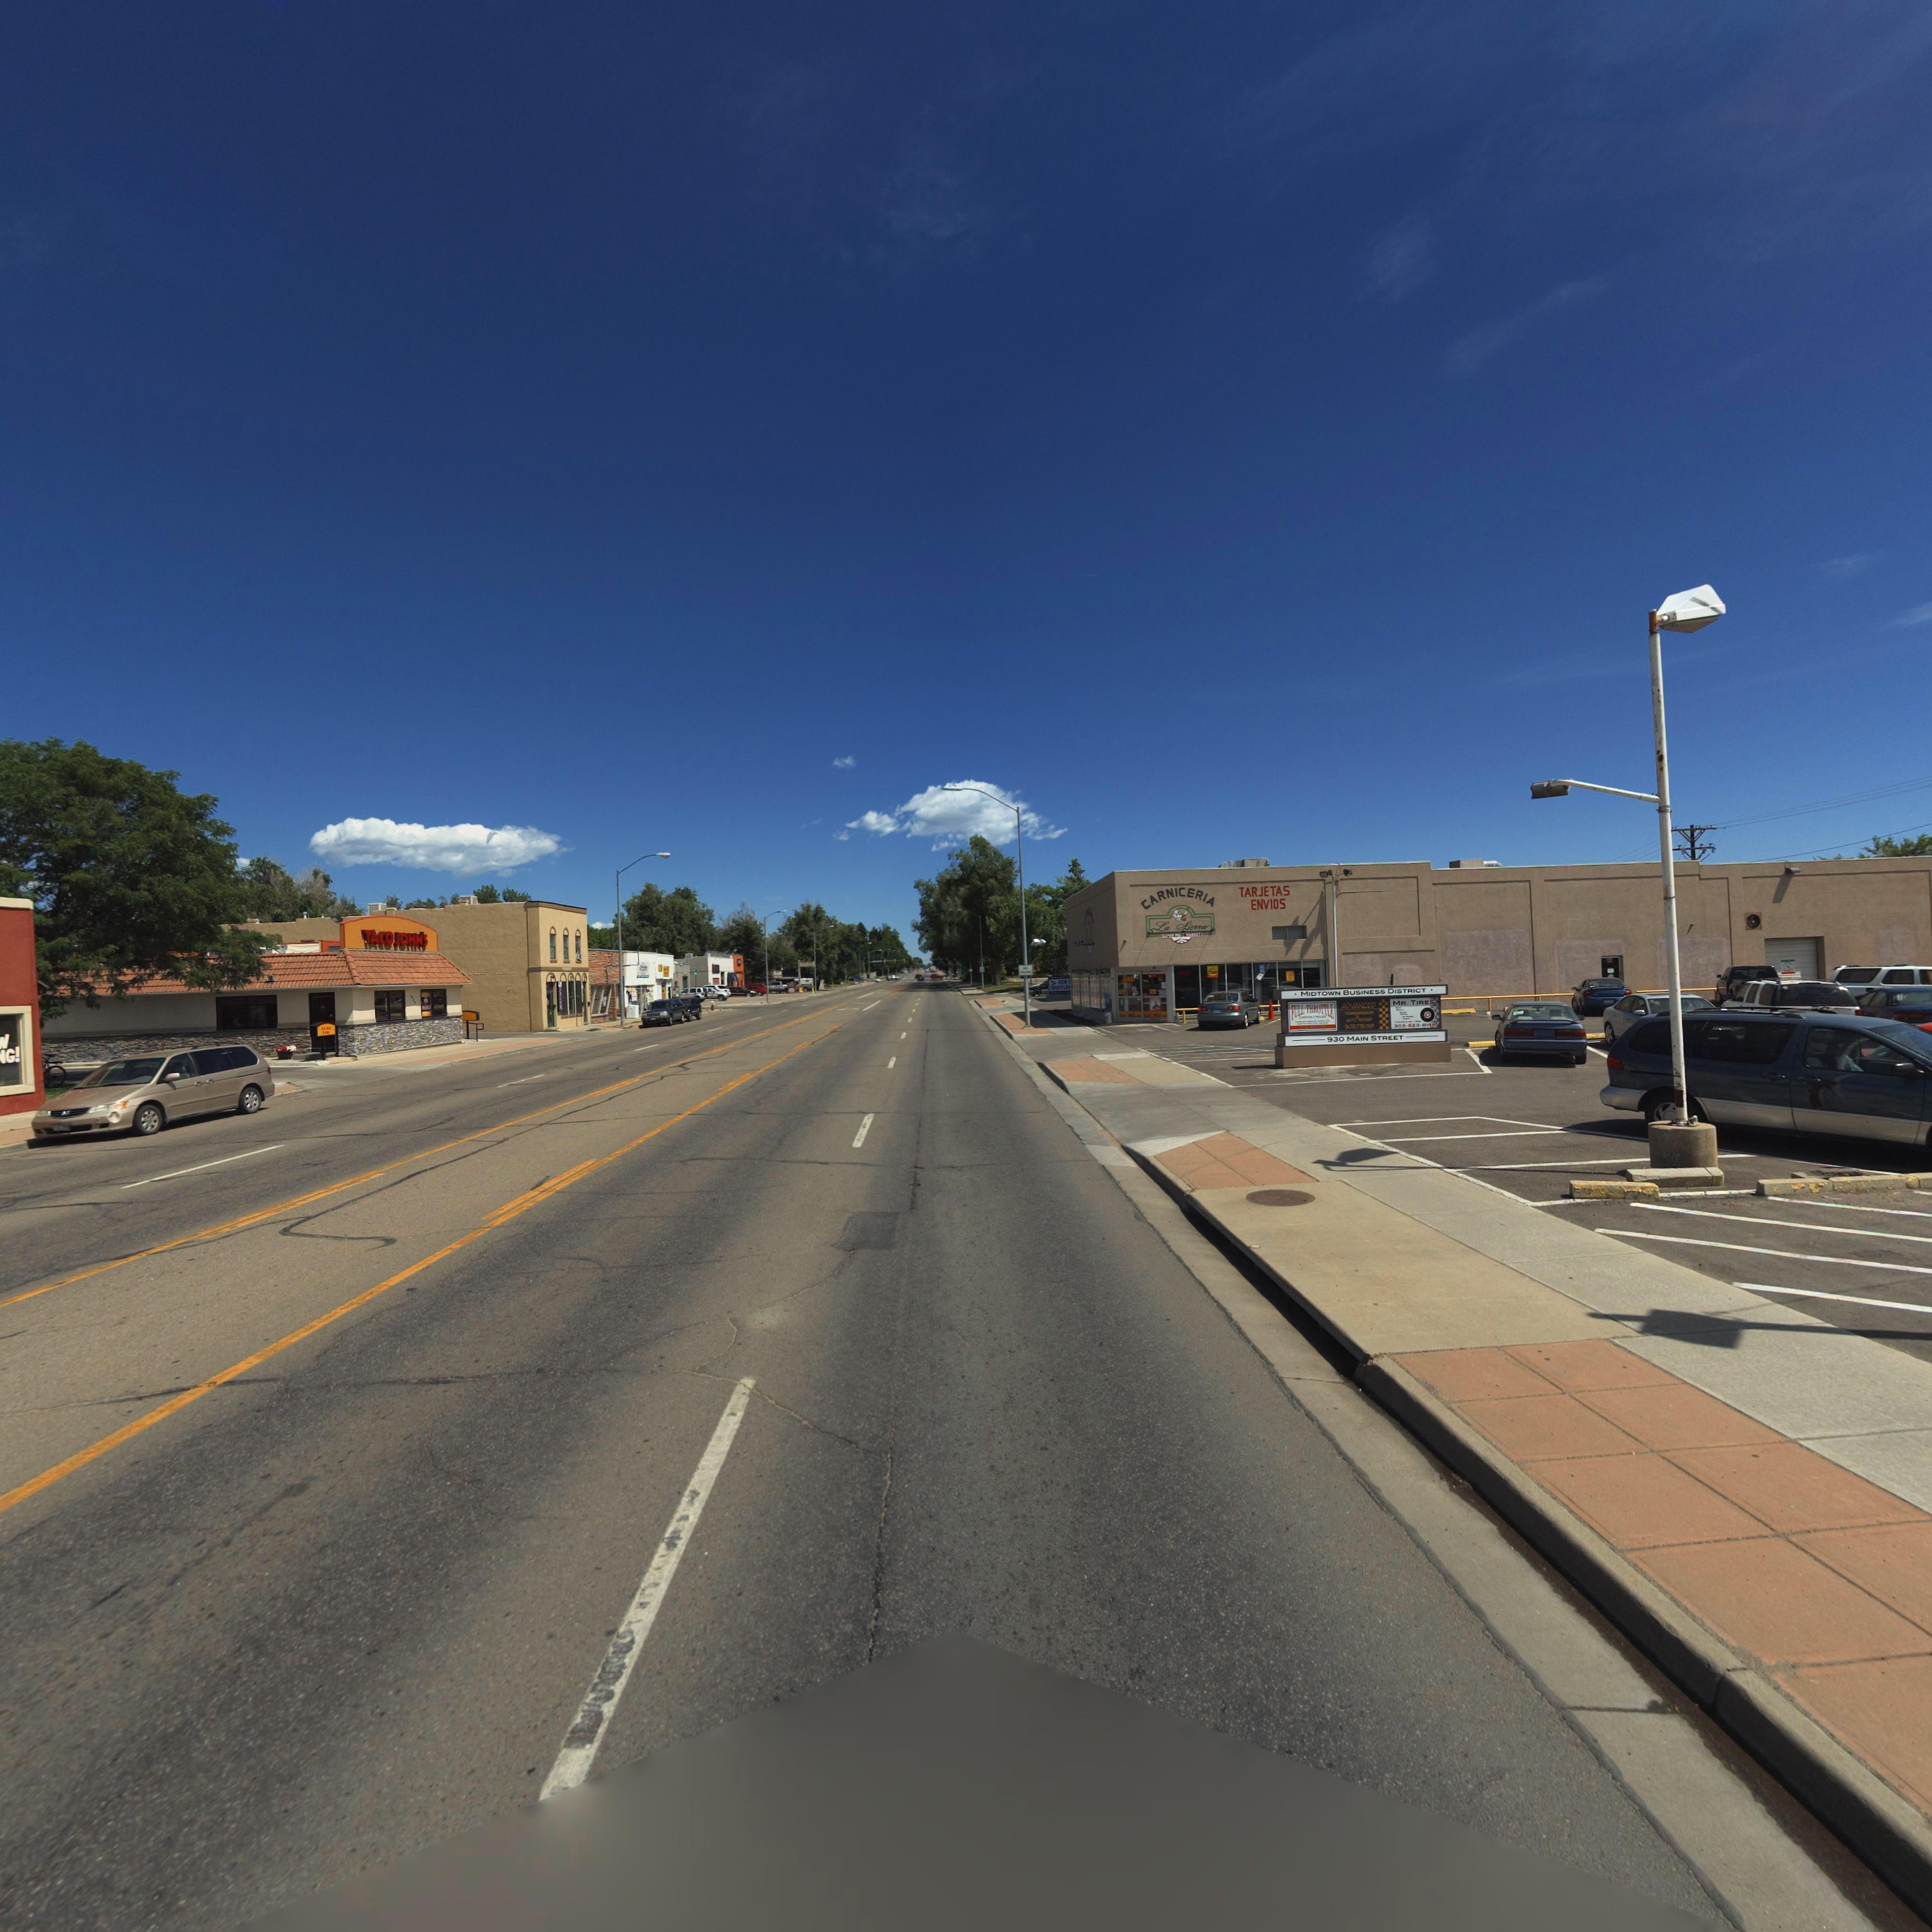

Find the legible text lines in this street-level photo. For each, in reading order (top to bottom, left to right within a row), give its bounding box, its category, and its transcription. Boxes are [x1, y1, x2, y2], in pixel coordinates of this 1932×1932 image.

[1150, 920, 1209, 931] BusinessName: La Sierra
[364, 929, 428, 947] BusinessName: TACO JOHN'S
[410, 994, 416, 1005] StreetNumber: 927
[1341, 1002, 1376, 1009] BusinessName: ADVANCED
[1392, 999, 1435, 1006] BusinessName: MR. TIRES
[1291, 1004, 1334, 1021] BusinessName: FULL THROTTLE
[1327, 1036, 1345, 1043] StreetNumber: 930
[1347, 1035, 1403, 1042] StreetName: MAIN STREET